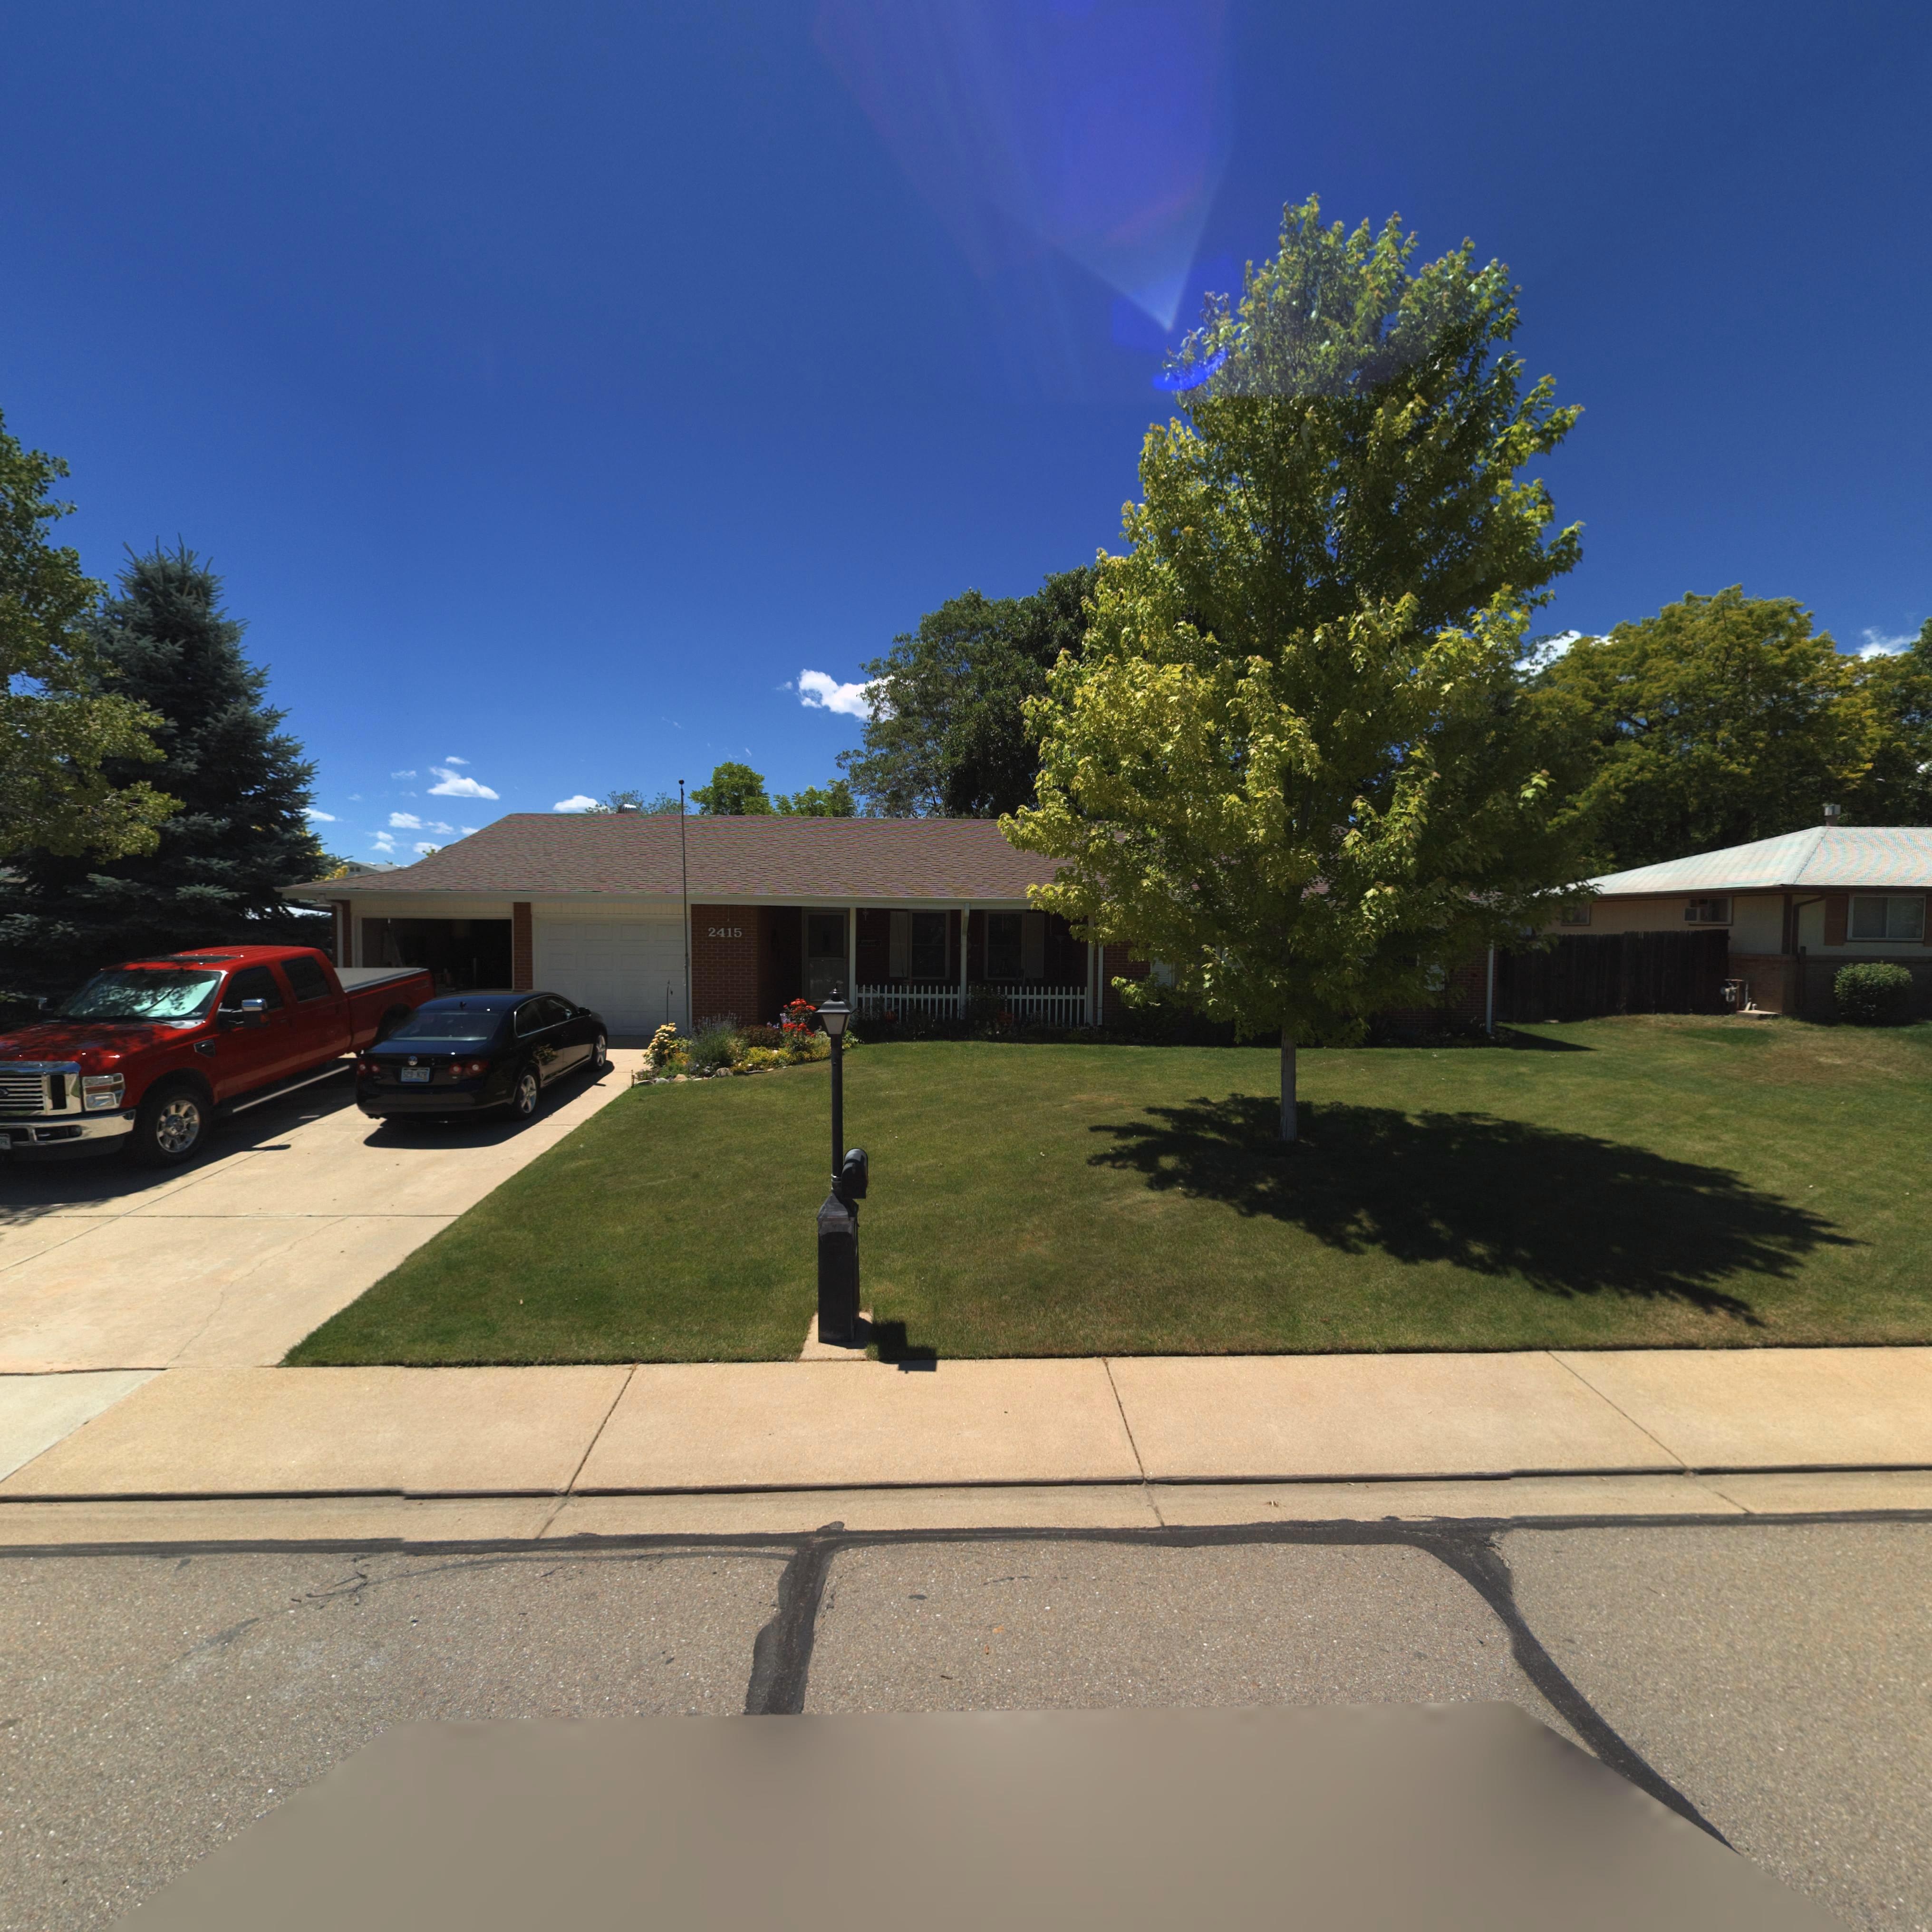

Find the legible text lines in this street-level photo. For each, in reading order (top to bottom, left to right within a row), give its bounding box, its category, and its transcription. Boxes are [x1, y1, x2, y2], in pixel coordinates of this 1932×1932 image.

[707, 927, 742, 937] StreetNumber: 2415